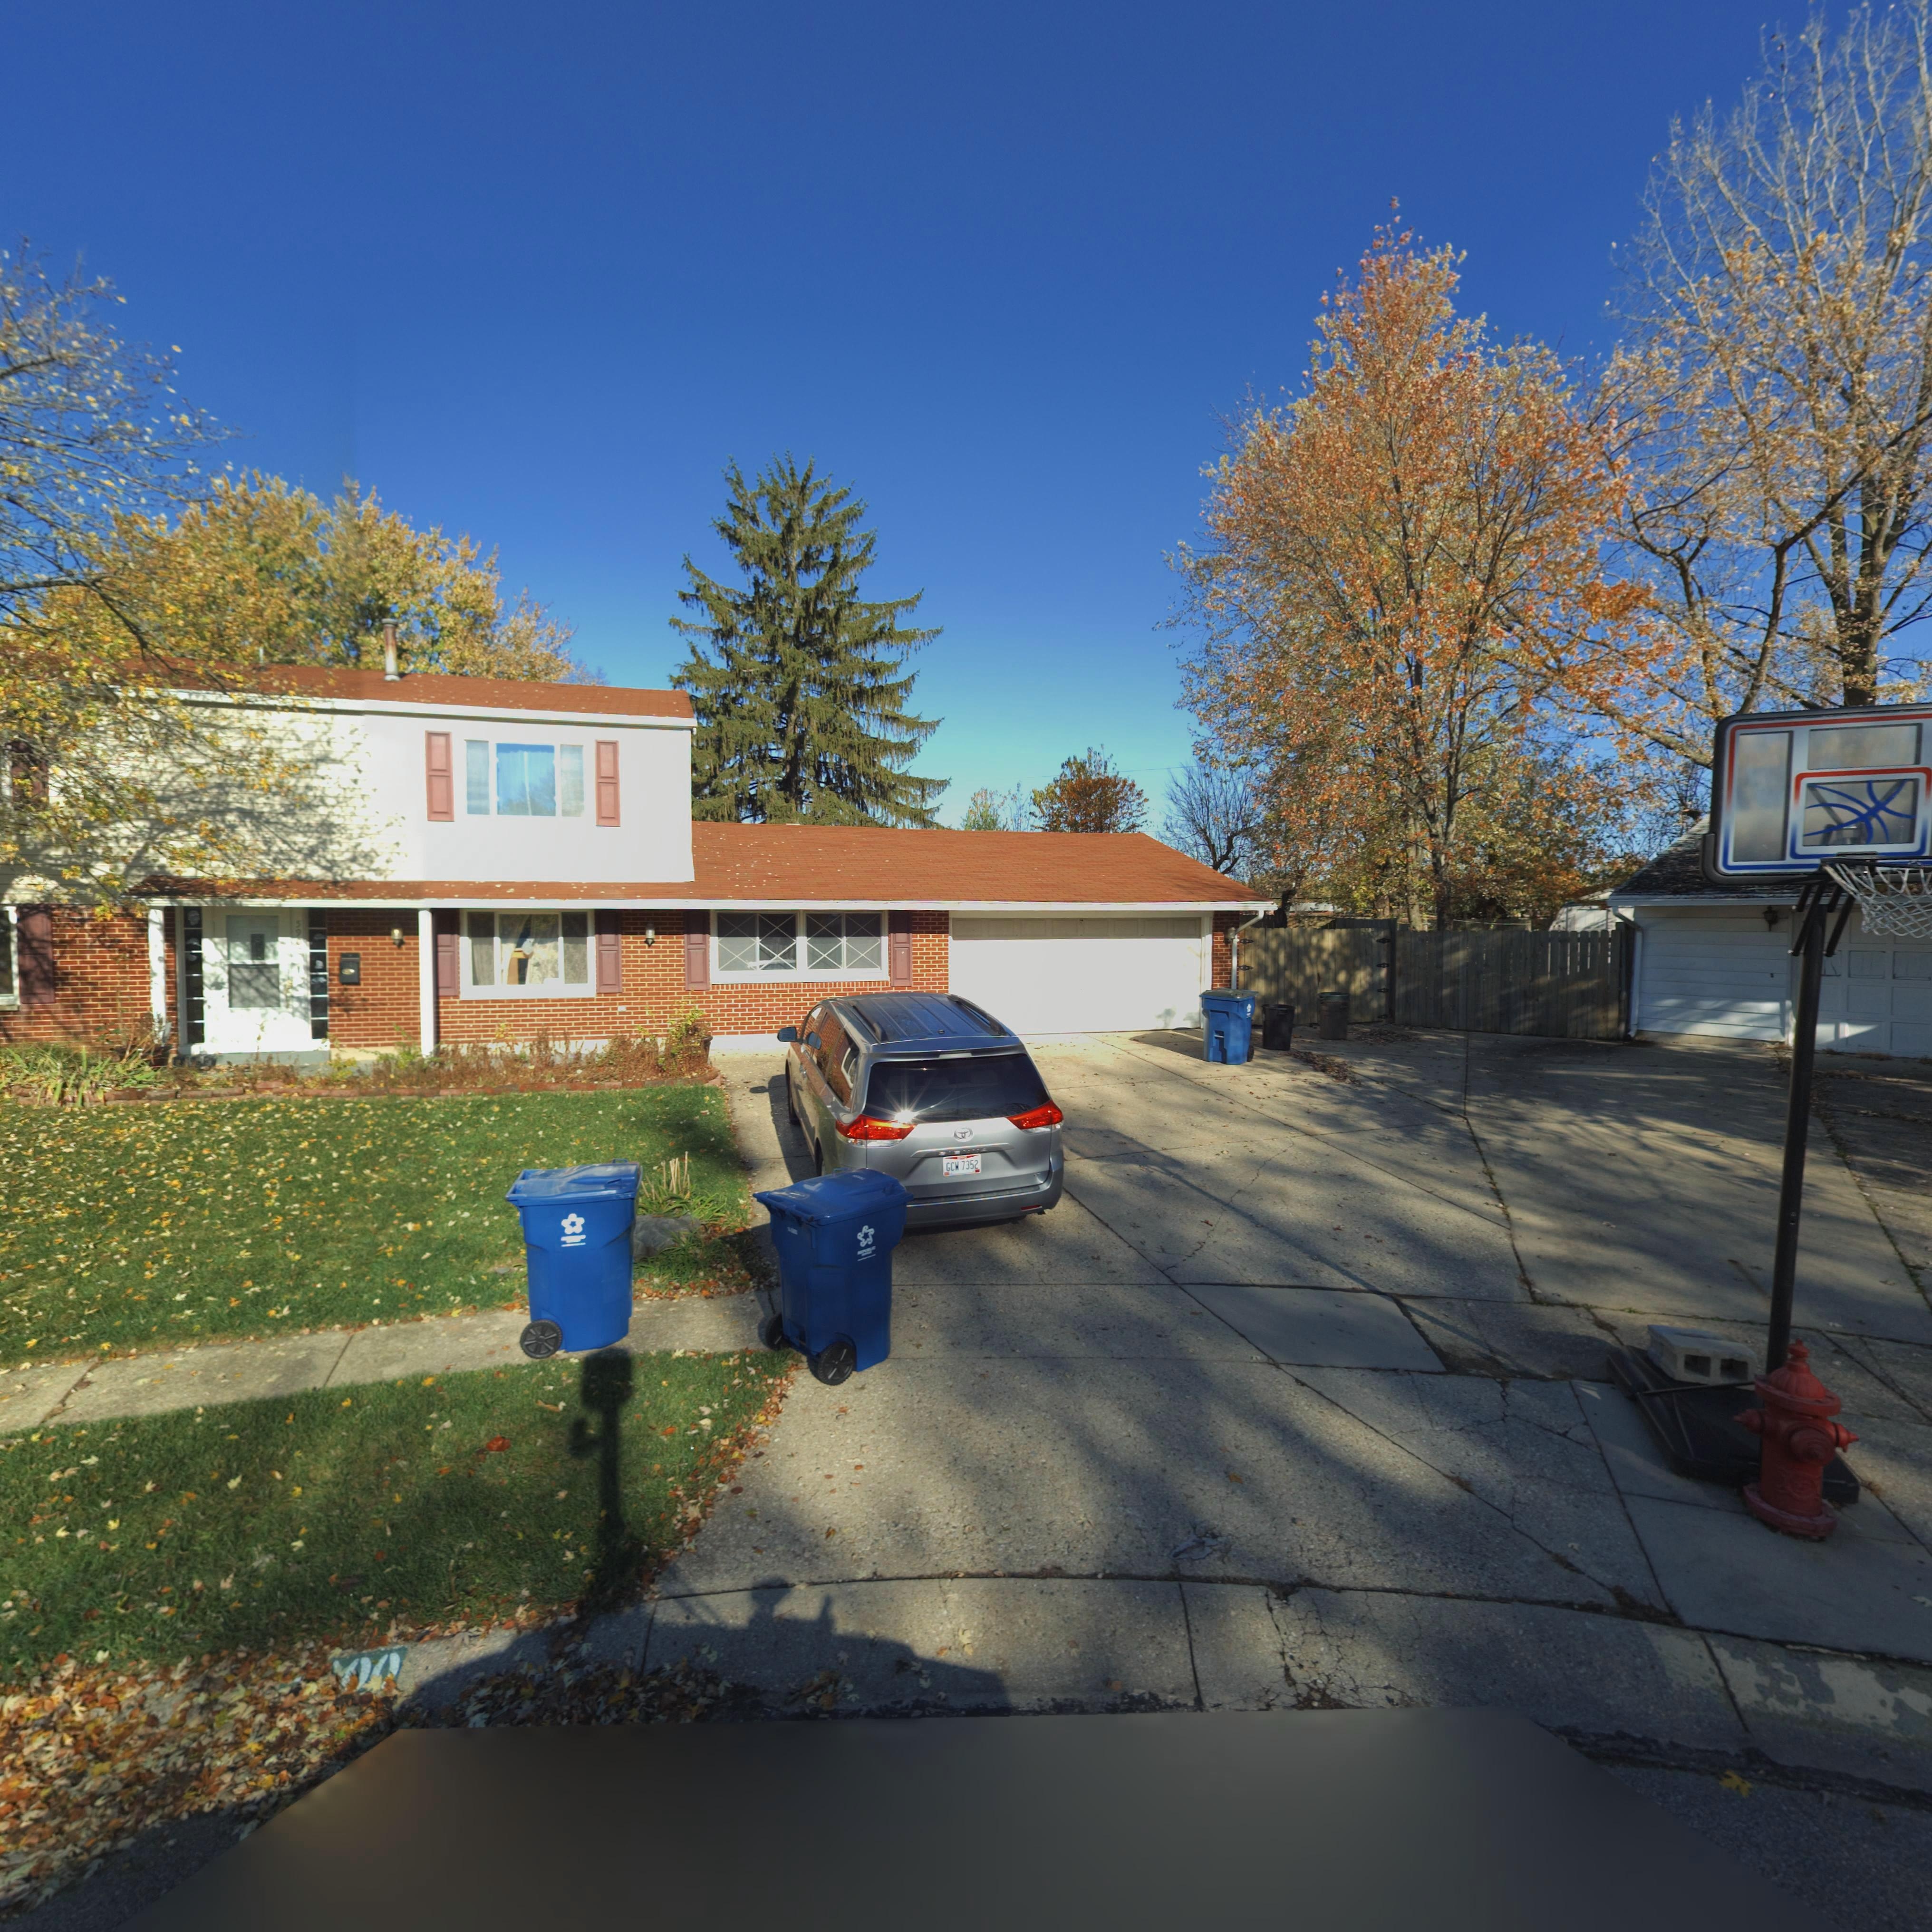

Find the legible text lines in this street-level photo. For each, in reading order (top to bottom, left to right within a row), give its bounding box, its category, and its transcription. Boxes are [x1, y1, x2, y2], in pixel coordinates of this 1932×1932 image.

[293, 918, 304, 955] StreetNumber: 59**